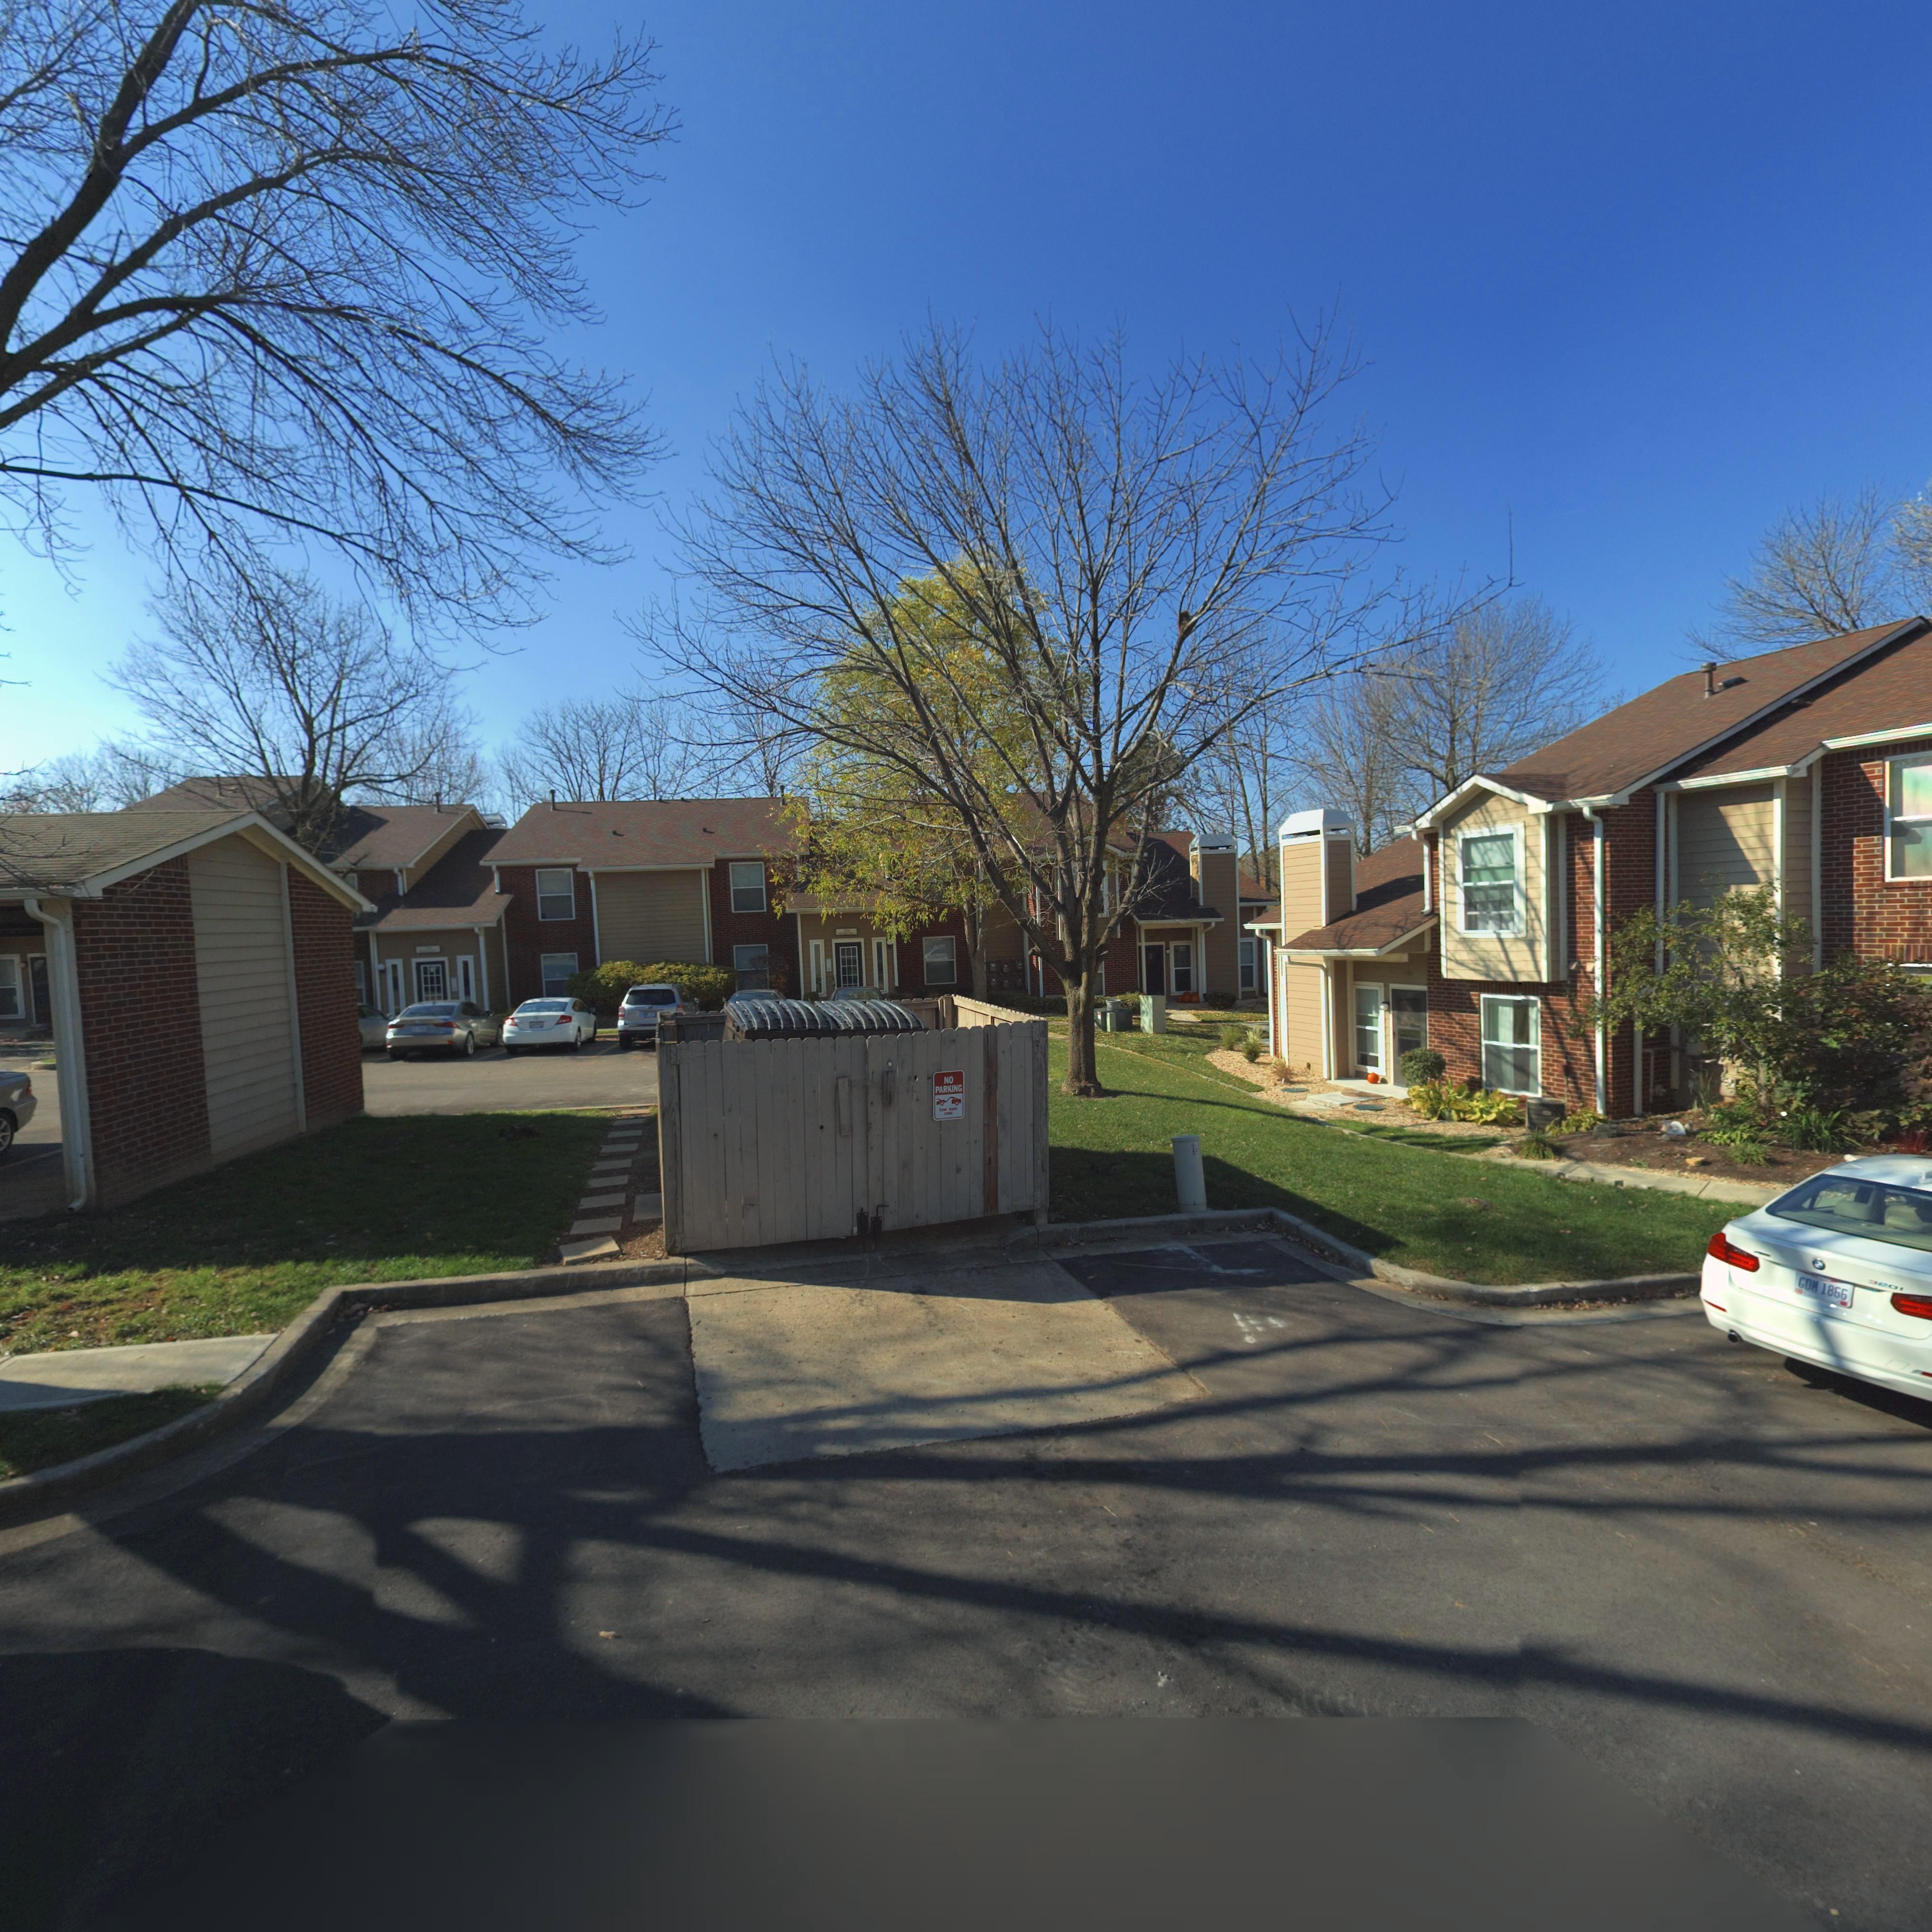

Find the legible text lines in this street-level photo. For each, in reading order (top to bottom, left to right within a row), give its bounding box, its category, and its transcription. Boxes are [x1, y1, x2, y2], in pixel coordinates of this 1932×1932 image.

[943, 1074, 955, 1085] None: NO
[934, 1082, 964, 1095] None: PARKING
[1796, 1274, 1849, 1303] None: GDM 1866